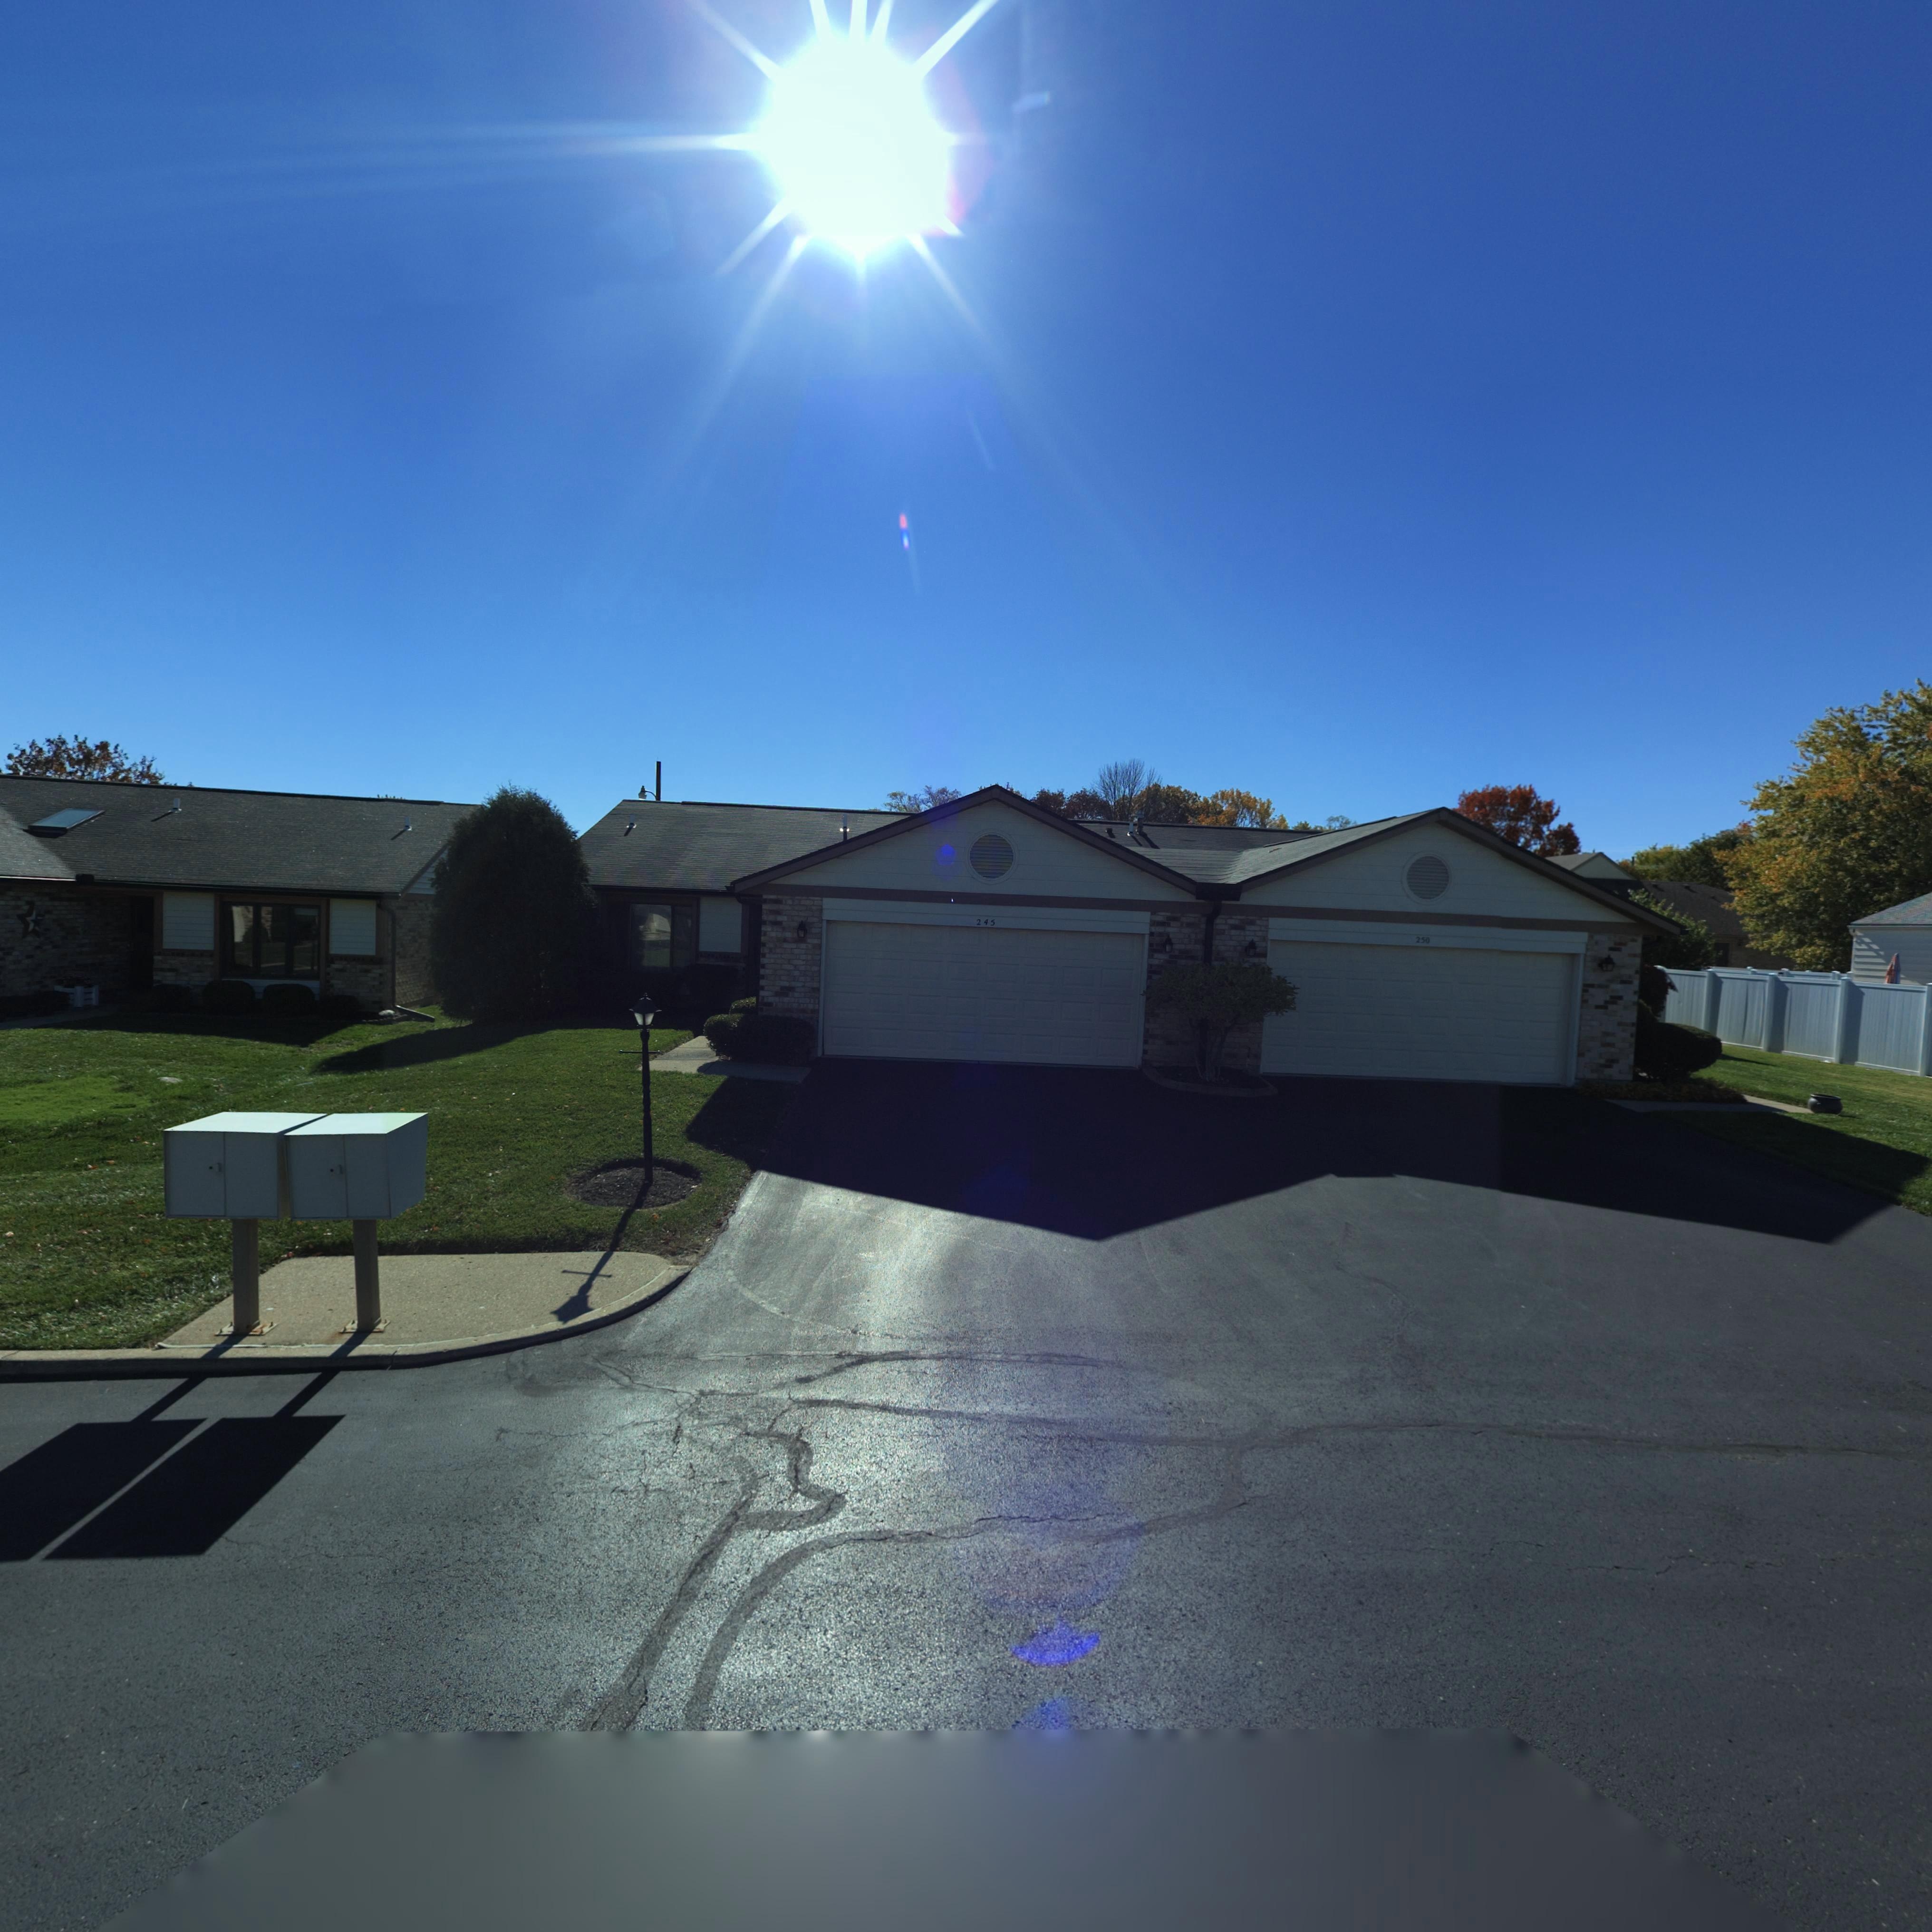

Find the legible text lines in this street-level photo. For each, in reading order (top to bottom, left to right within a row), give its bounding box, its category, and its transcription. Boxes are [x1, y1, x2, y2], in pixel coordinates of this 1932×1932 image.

[975, 917, 997, 927] StreetNumber: 245
[1413, 934, 1431, 945] StreetNumber: 250